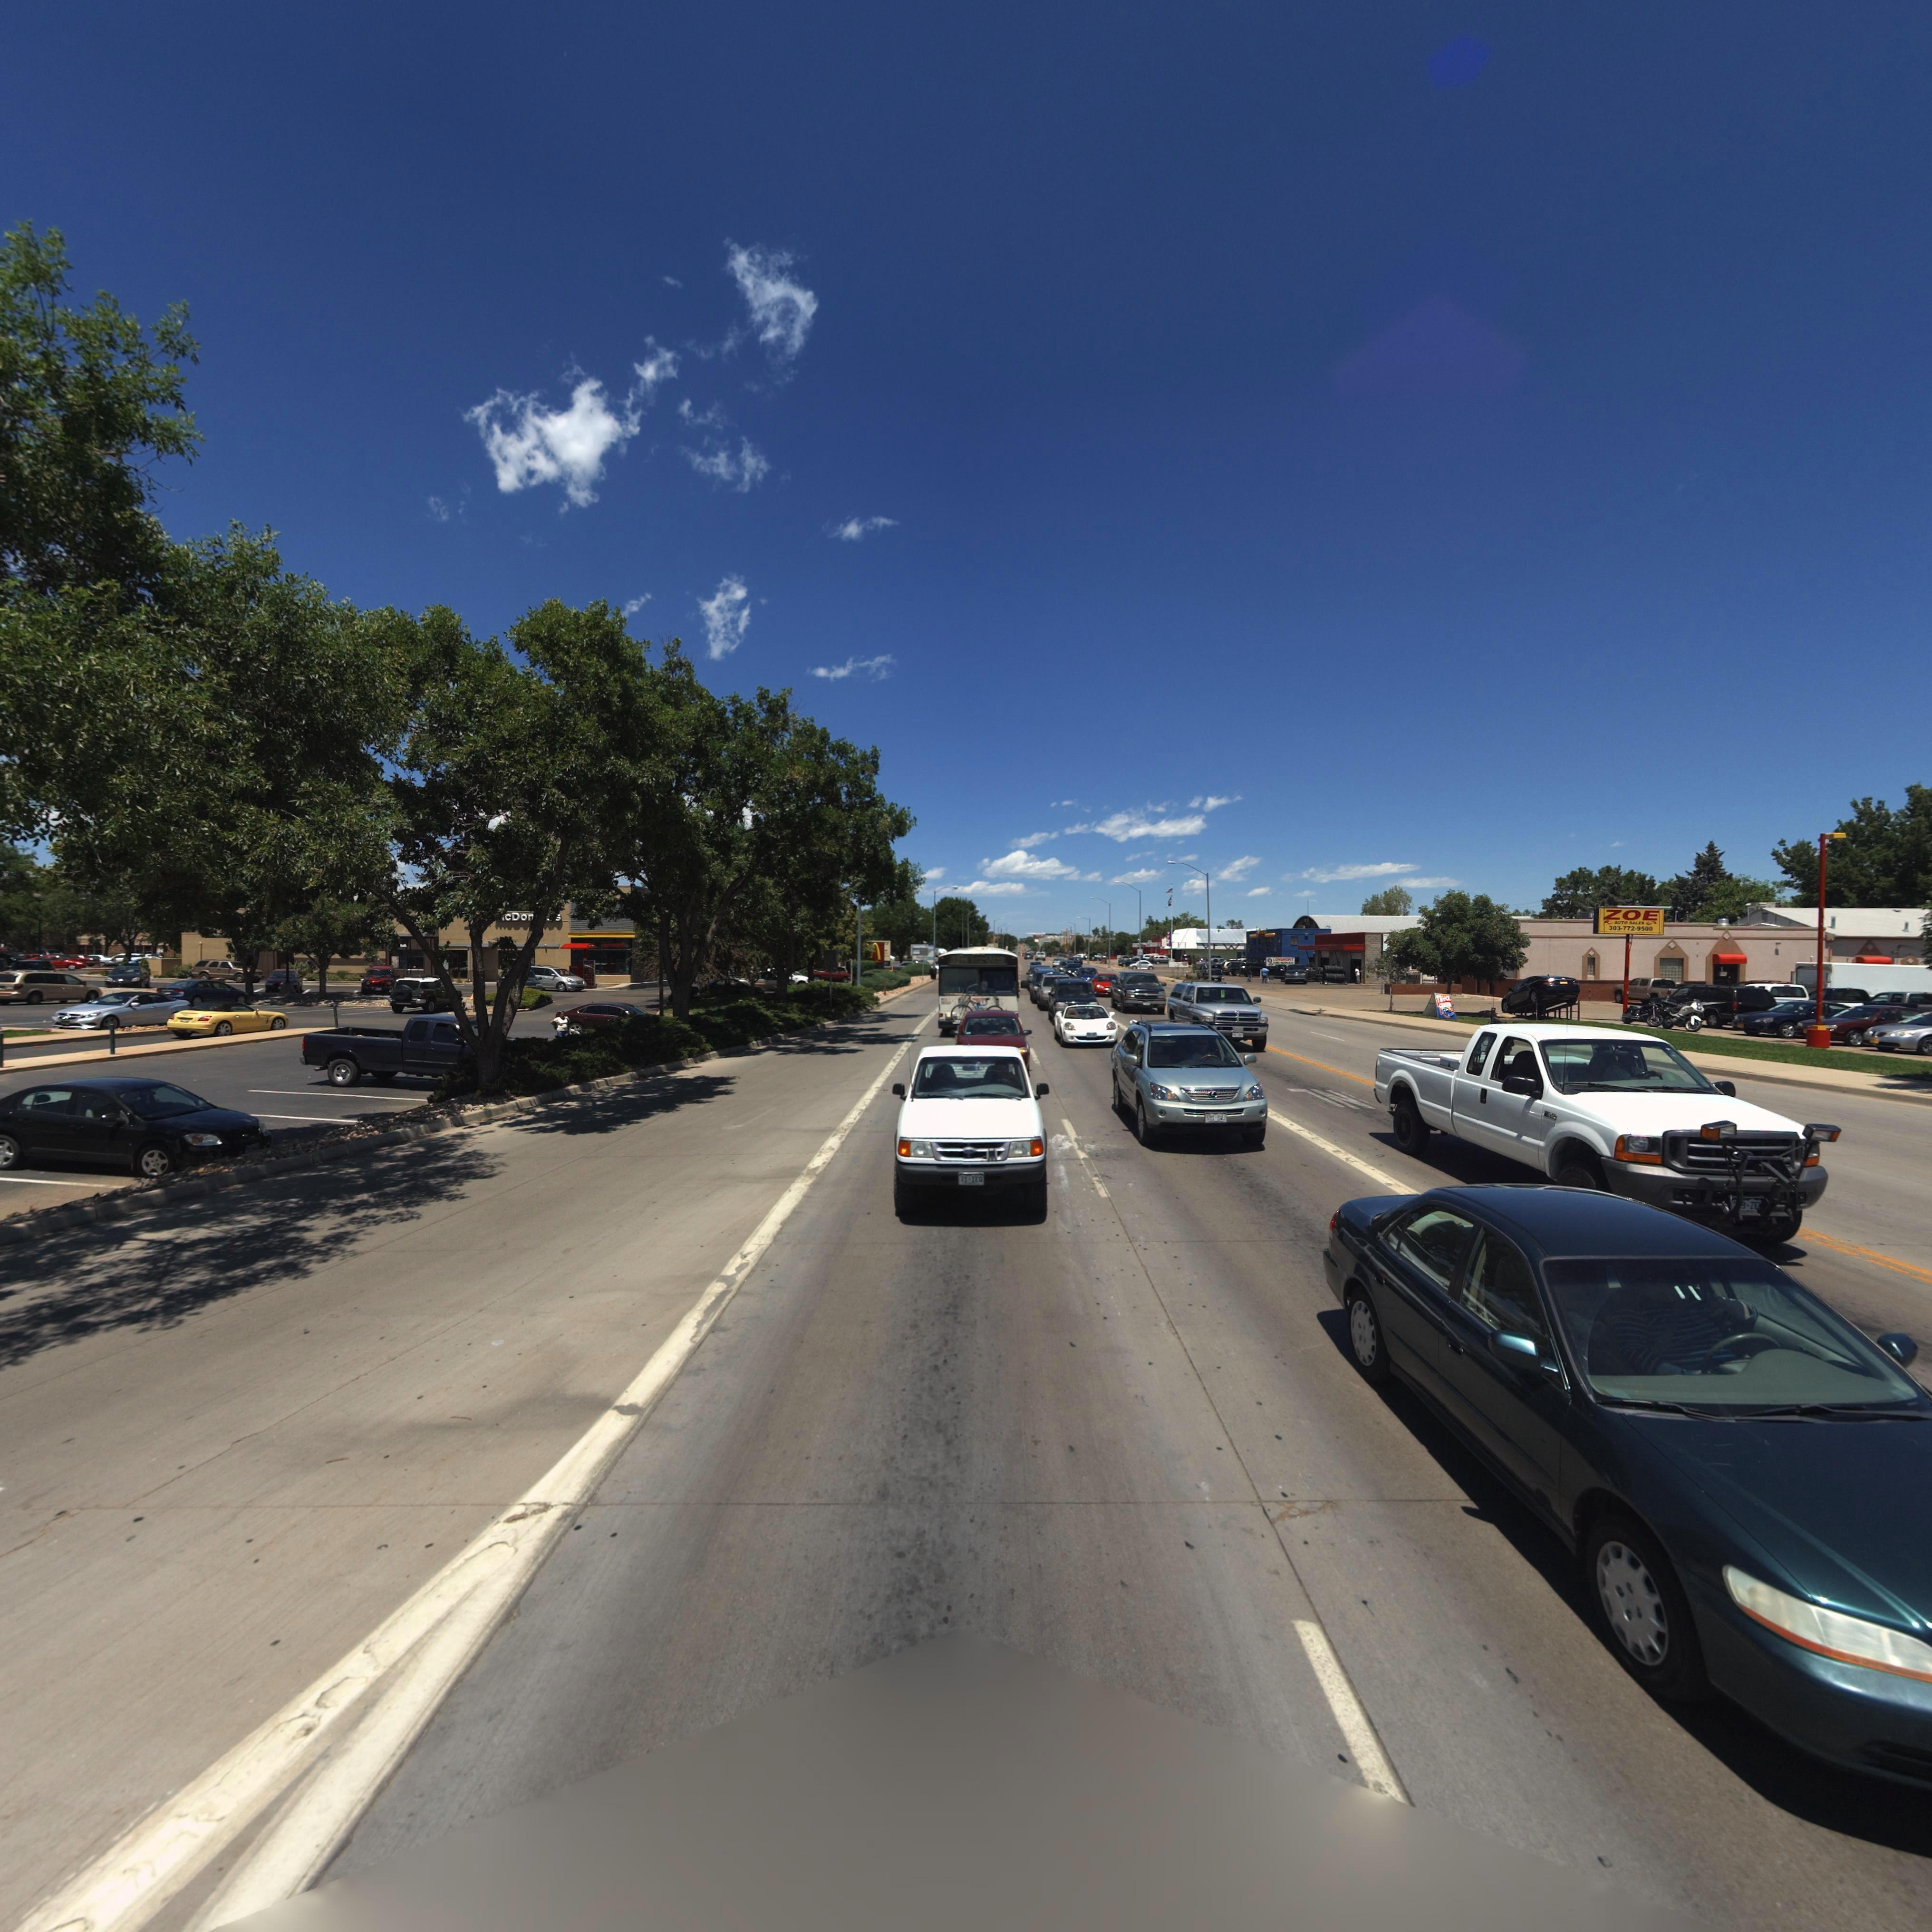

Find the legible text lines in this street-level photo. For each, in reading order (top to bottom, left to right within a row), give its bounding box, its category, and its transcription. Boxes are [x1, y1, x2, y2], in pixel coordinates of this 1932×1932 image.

[504, 912, 534, 921] BusinessName: cDon
[555, 913, 561, 922] BusinessName: s
[1603, 909, 1660, 921] BusinessName: ZOE
[1613, 920, 1644, 925] BusinessName: AUTO SALES
[1200, 943, 1241, 950] BusinessName: VFW
[1273, 957, 1294, 961] BusinessName: LONG**NT